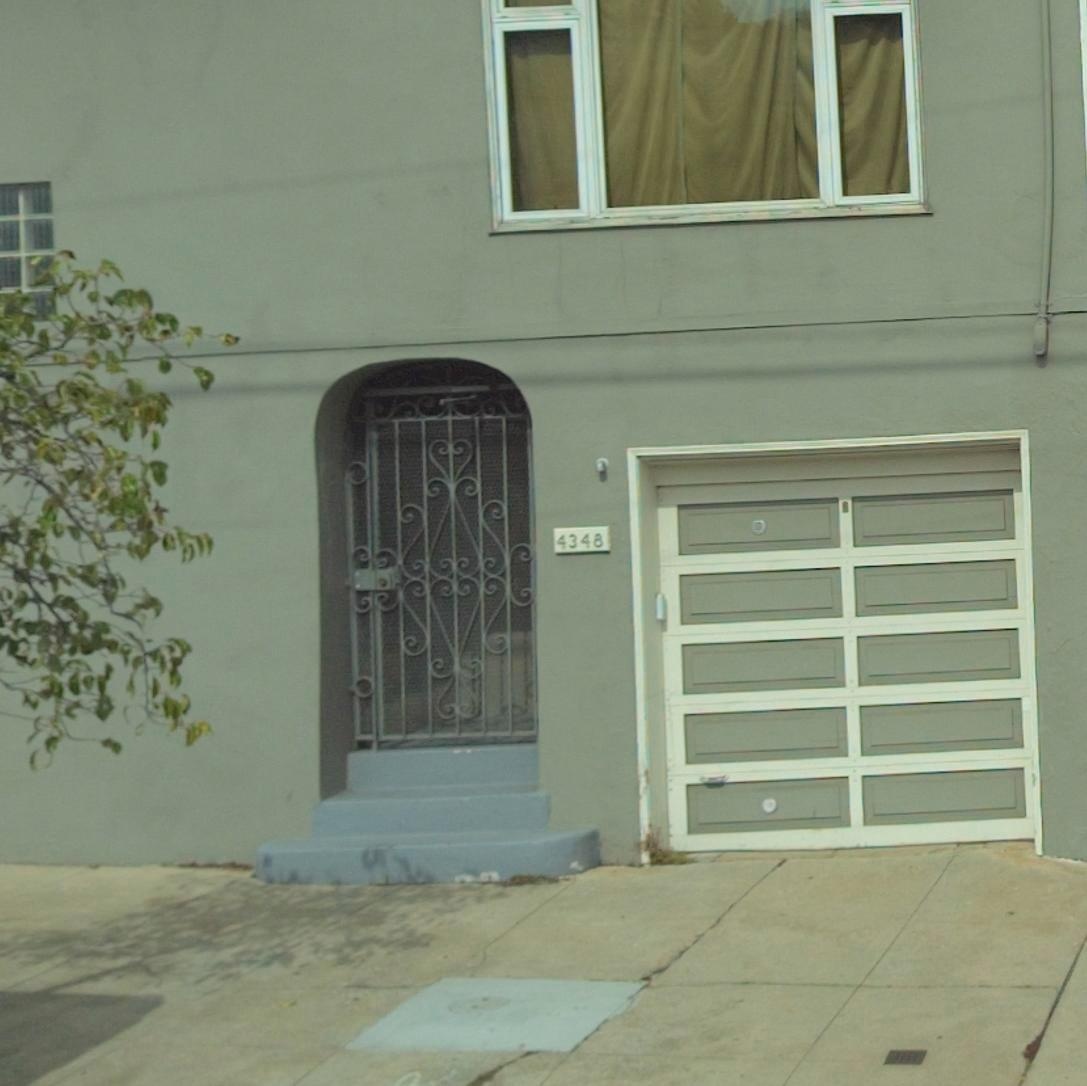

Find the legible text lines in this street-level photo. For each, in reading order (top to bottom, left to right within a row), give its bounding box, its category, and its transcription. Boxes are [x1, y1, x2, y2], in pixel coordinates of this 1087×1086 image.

[553, 530, 606, 552] StreetNumber: 4348